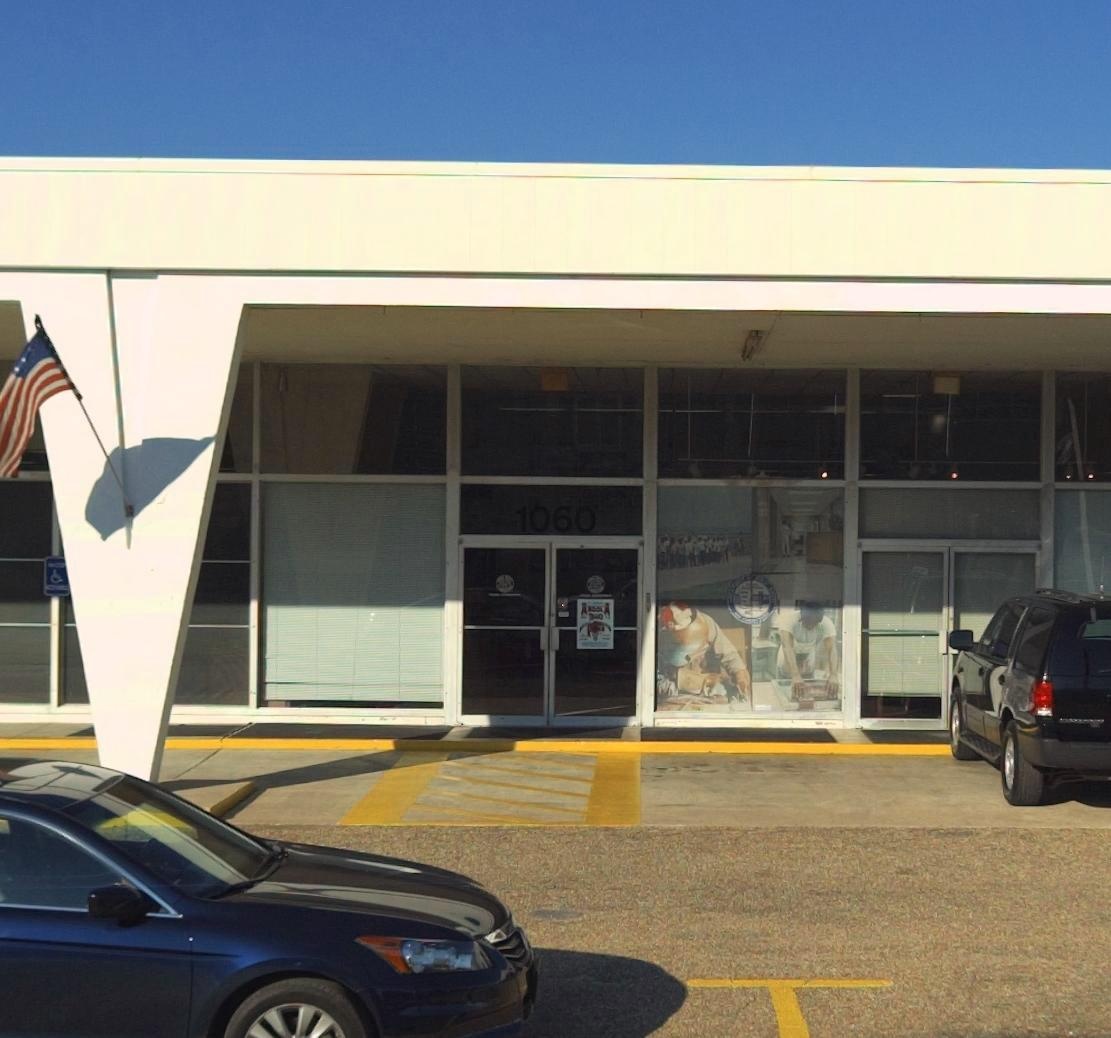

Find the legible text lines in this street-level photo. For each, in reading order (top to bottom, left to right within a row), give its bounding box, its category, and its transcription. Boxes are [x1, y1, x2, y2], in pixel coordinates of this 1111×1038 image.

[513, 502, 600, 536] StreetNumber: 1060